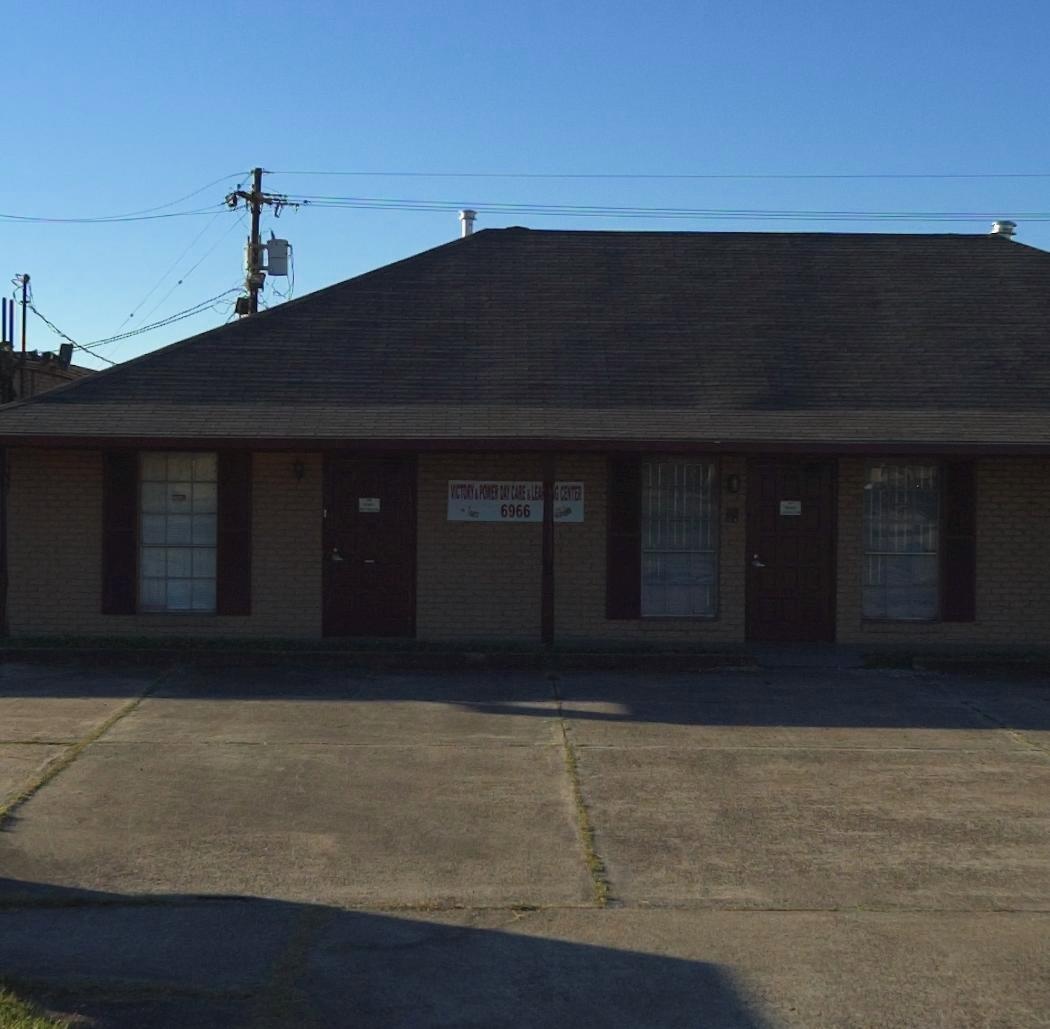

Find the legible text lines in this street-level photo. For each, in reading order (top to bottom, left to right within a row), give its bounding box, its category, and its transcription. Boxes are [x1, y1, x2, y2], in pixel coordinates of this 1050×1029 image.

[446, 481, 585, 504] BusinessName: V****** * PO*ER *** C*** * ******* CE**E*
[499, 501, 532, 520] StreetNumber: 6966